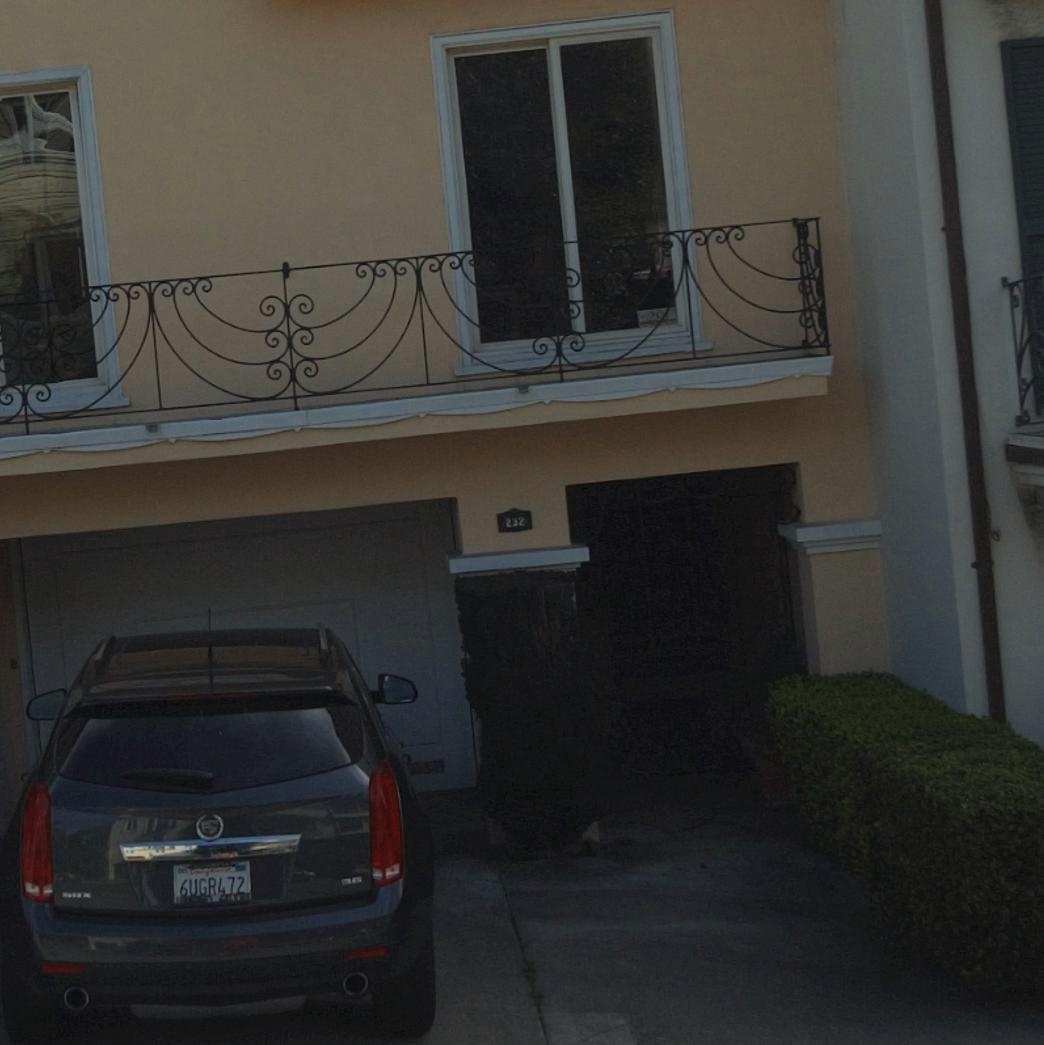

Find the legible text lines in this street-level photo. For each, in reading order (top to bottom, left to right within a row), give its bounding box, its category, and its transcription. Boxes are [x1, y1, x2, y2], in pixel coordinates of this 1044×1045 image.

[502, 514, 527, 531] StreetNumber: 232
[177, 873, 248, 901] None: 6UGR472